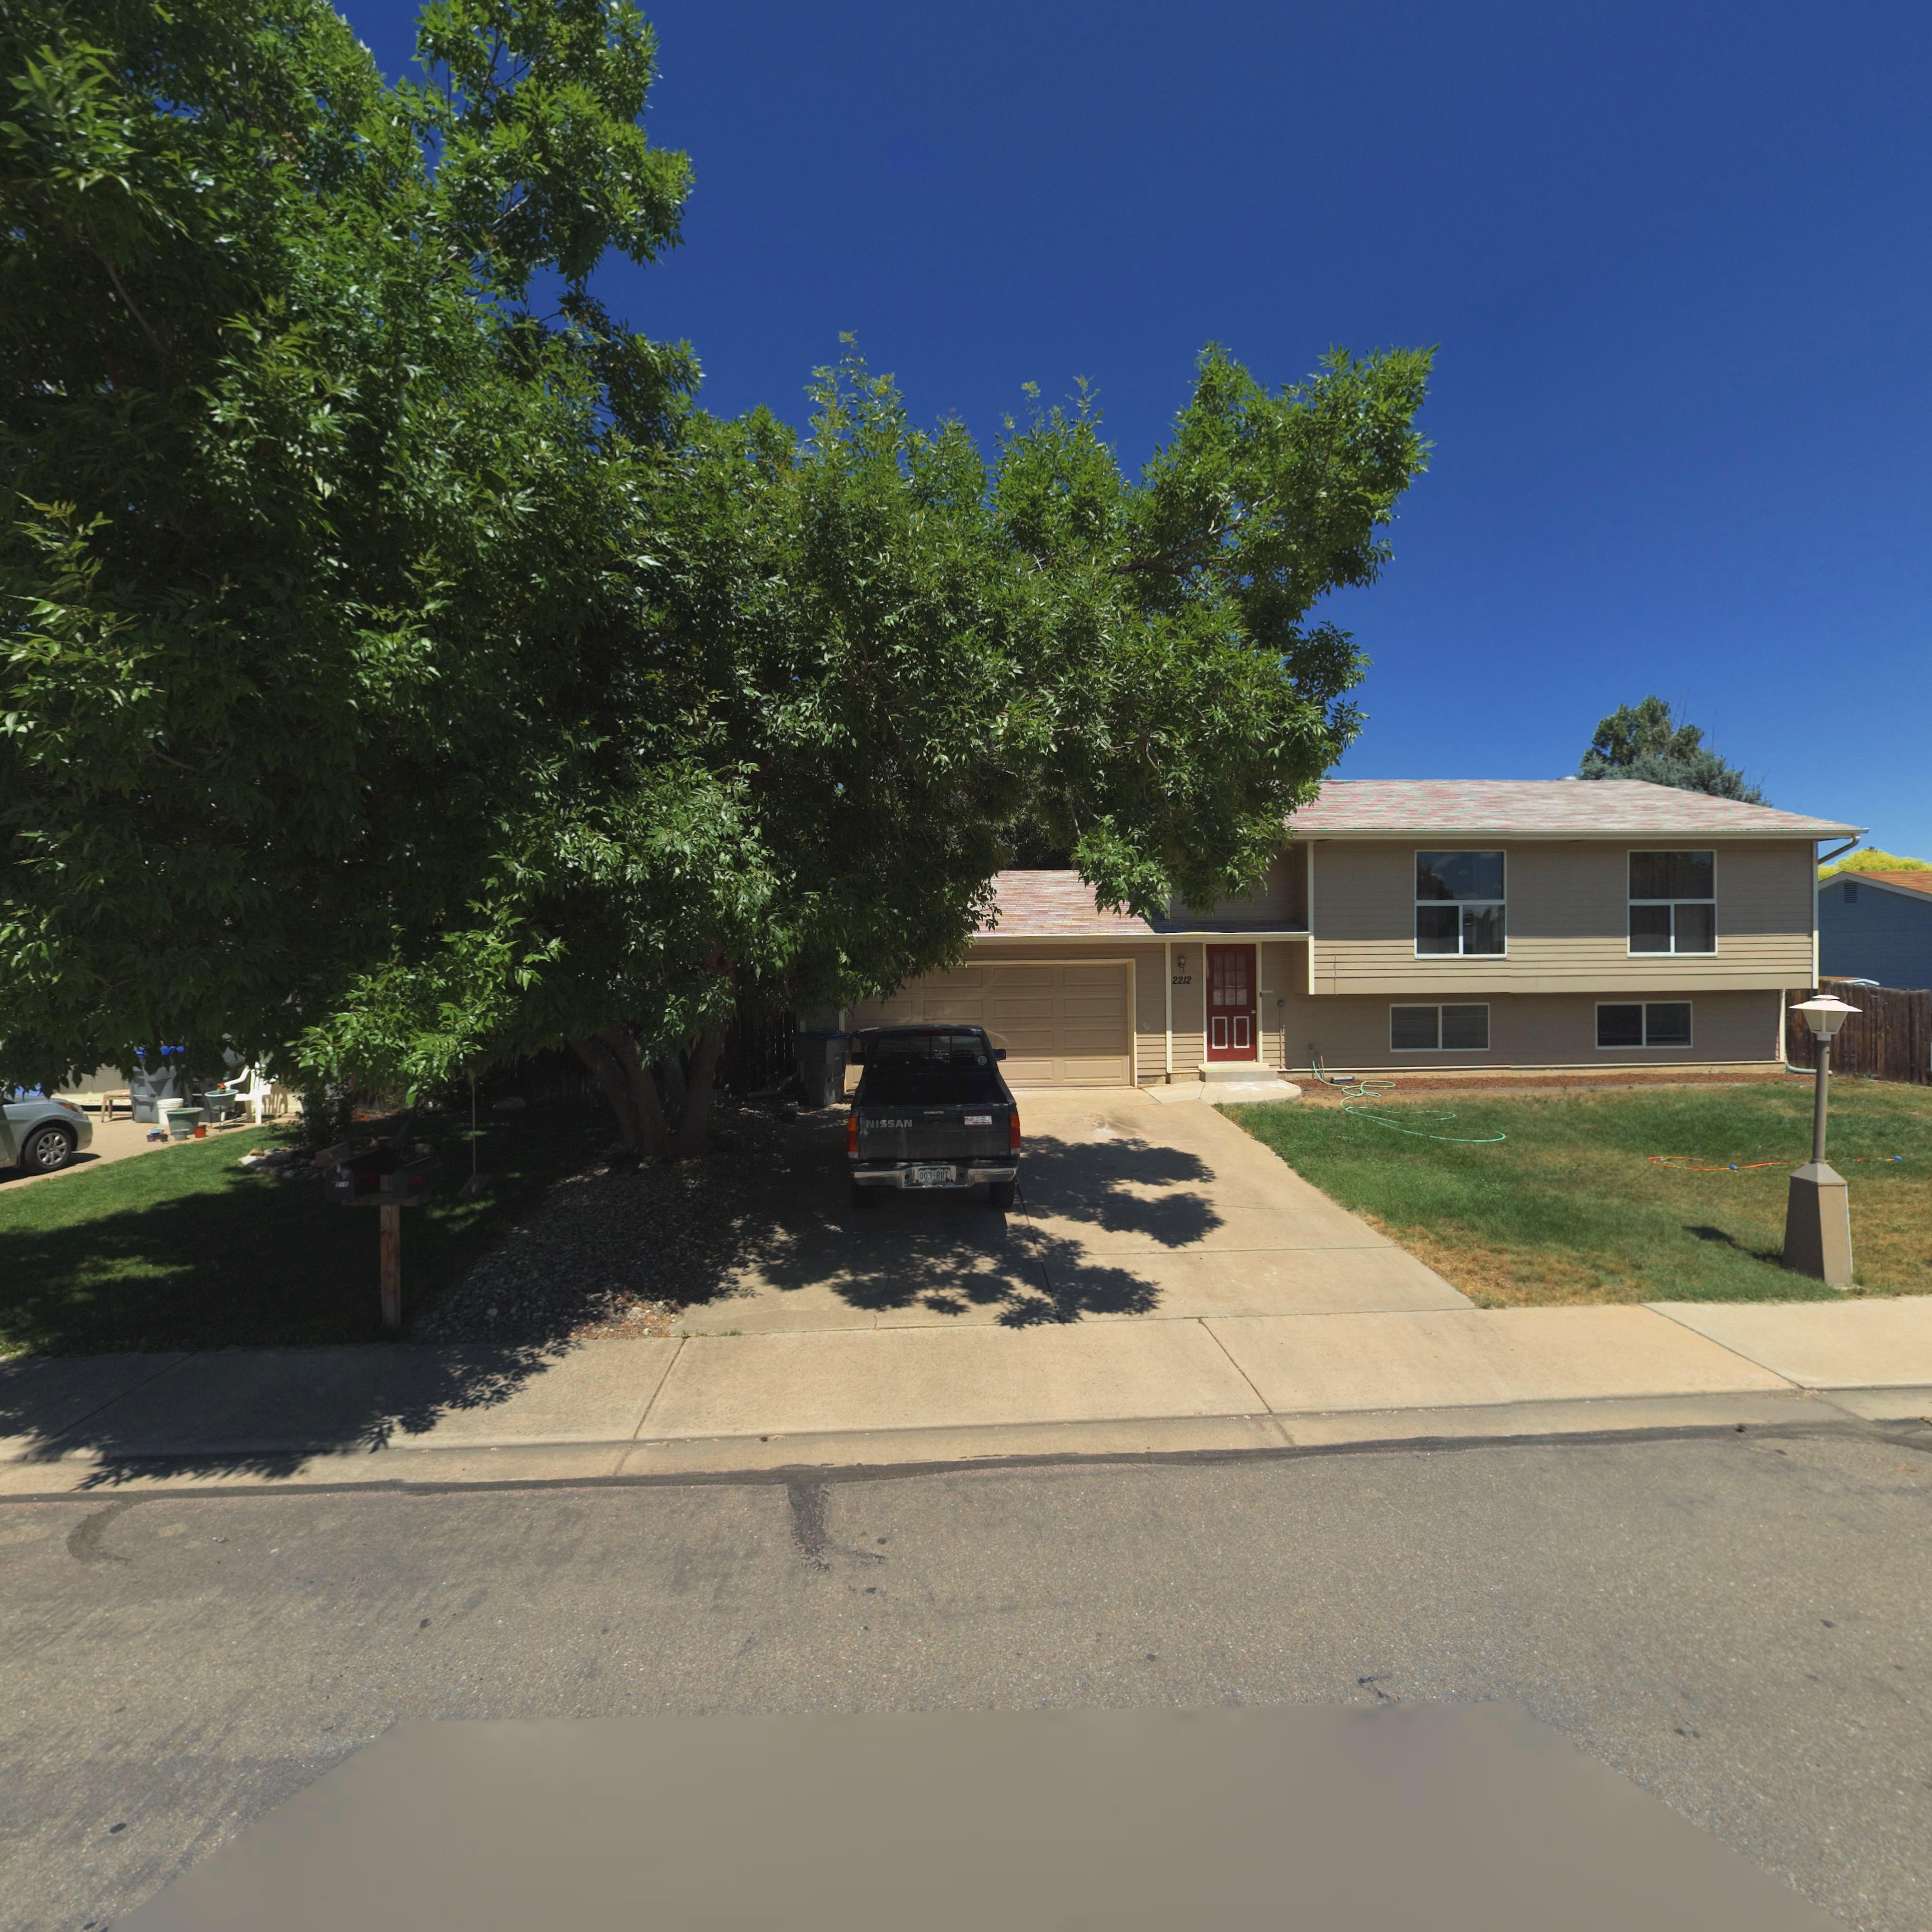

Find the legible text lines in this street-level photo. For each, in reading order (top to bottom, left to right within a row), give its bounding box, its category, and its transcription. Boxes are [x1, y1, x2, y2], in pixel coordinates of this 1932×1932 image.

[1171, 976, 1192, 985] StreetNumber: 2212